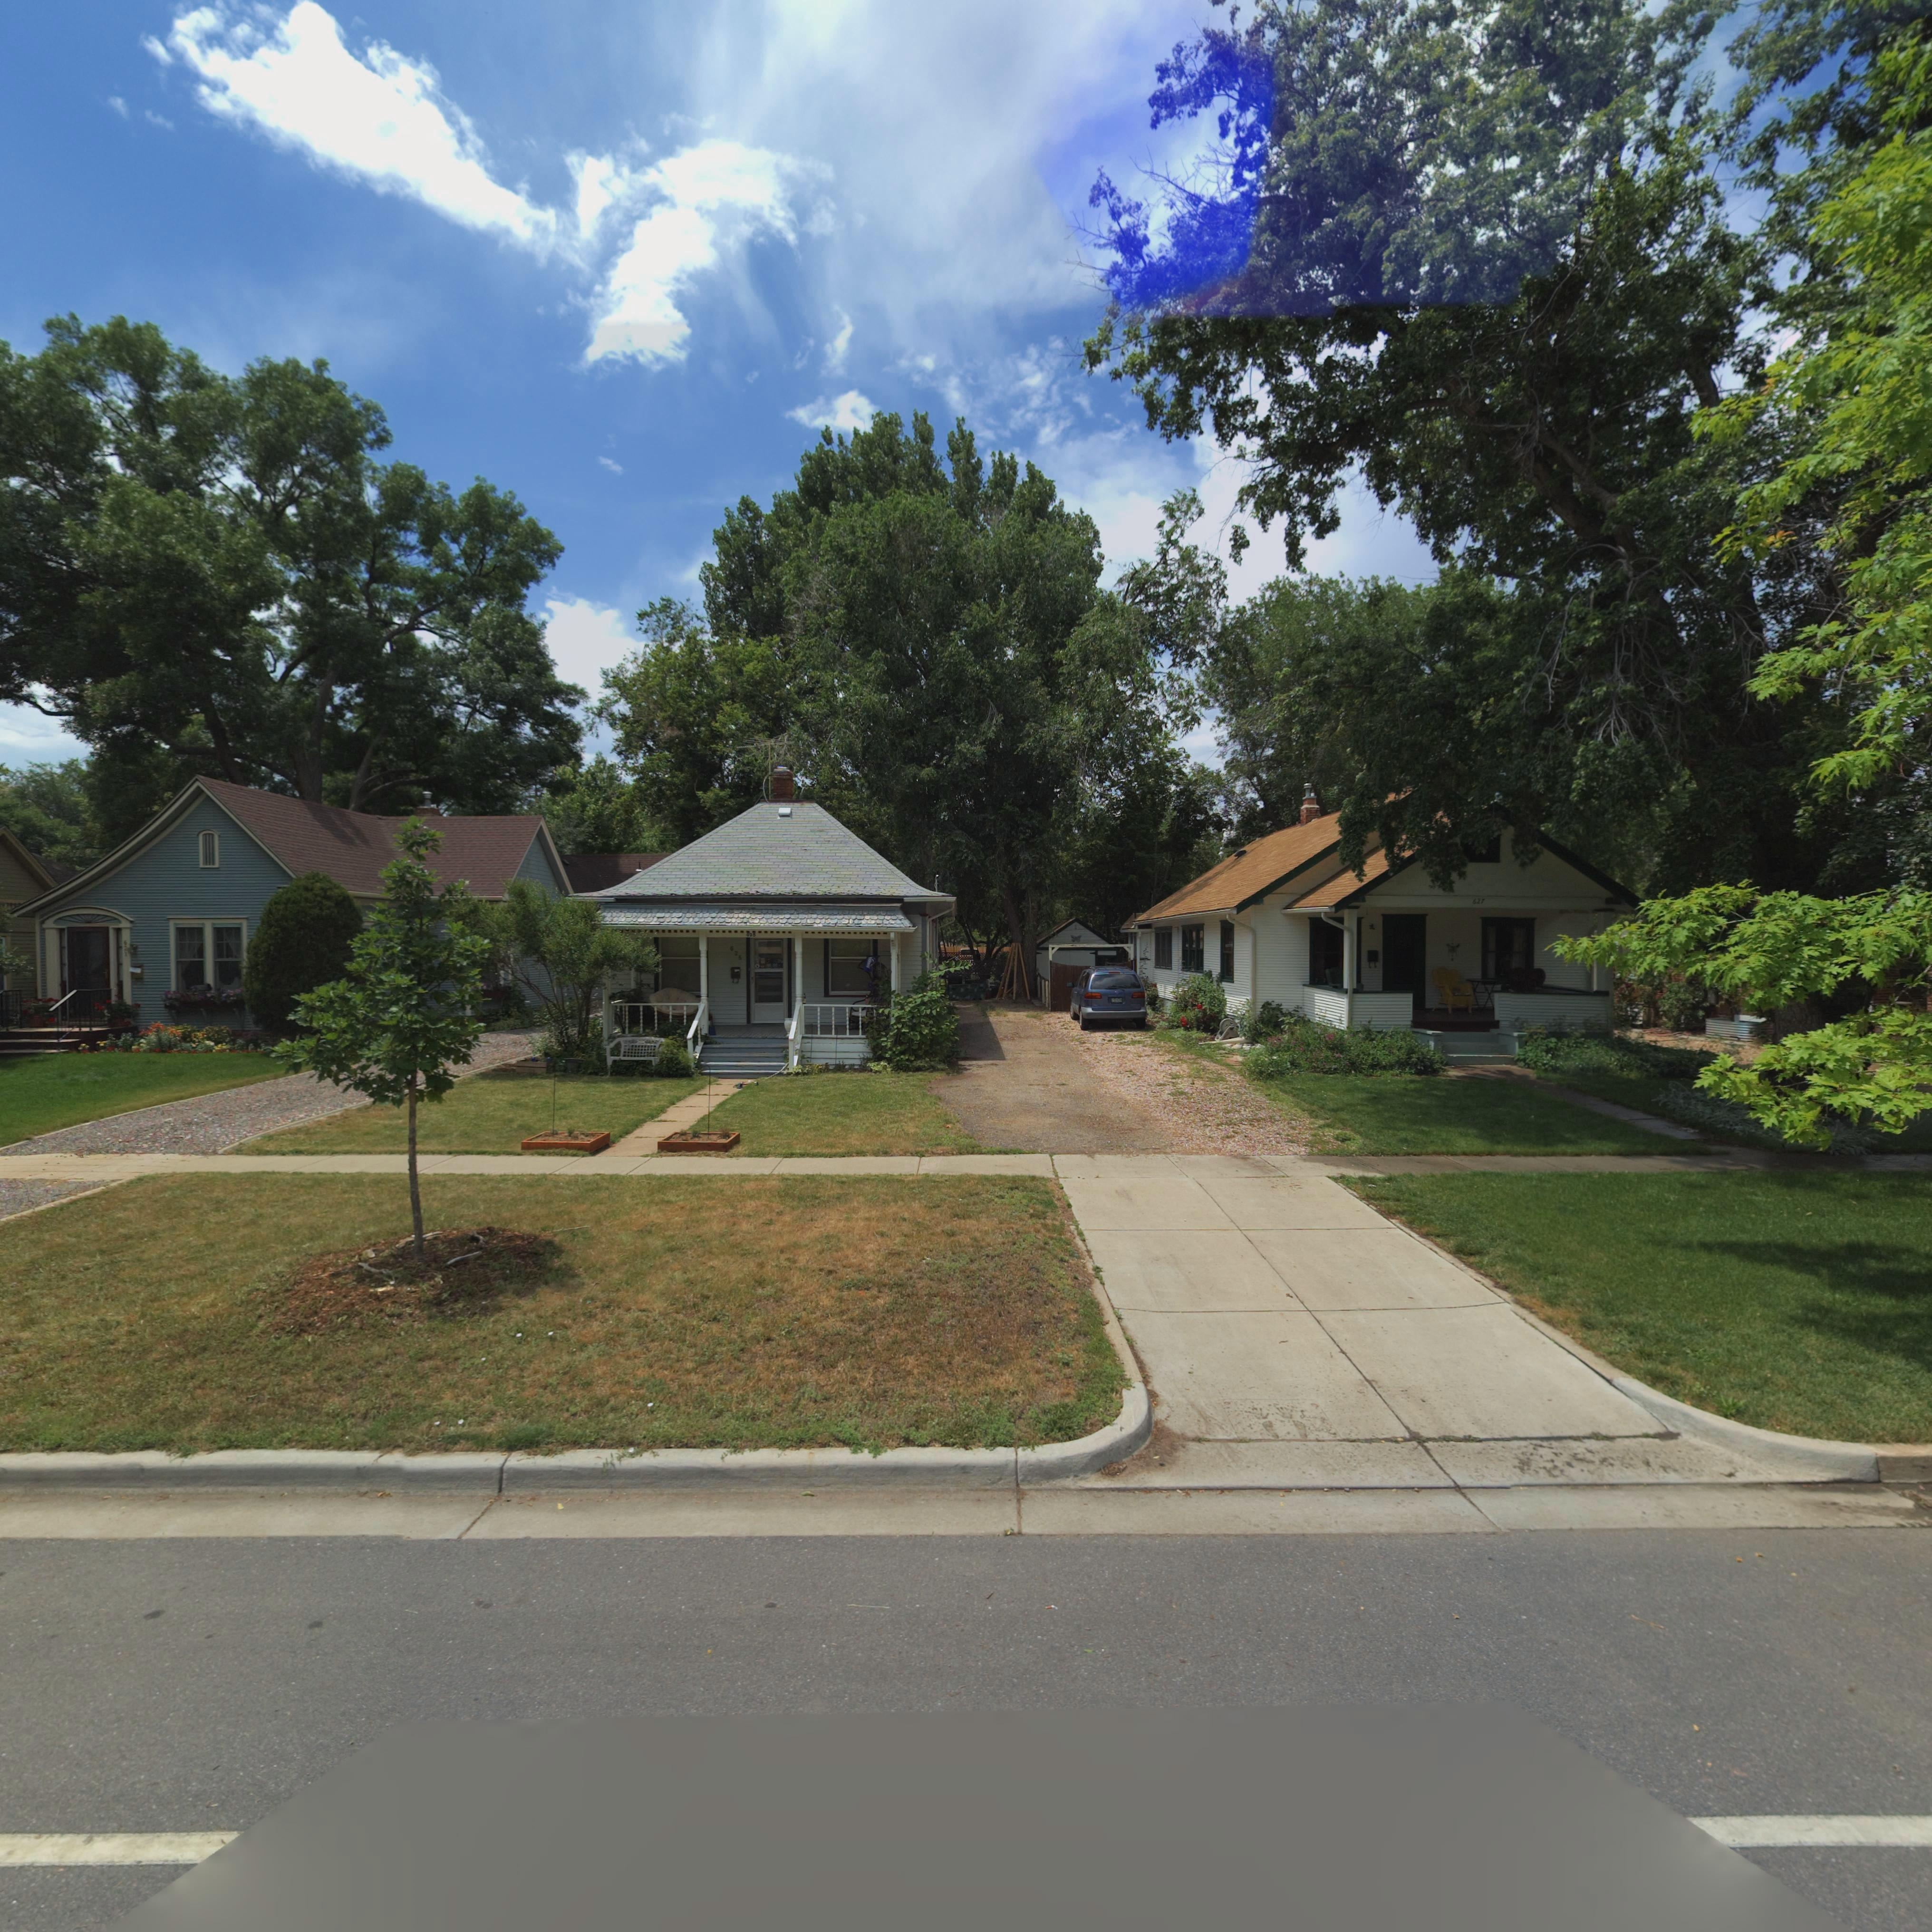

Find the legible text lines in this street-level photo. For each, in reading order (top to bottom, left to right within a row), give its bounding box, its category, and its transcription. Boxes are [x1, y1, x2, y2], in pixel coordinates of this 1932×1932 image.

[1472, 898, 1486, 905] StreetNumber: 627
[745, 932, 756, 937] StreetNumber: 625
[123, 939, 128, 957] StreetNumber: 621
[729, 945, 742, 960] StreetNumber: 625